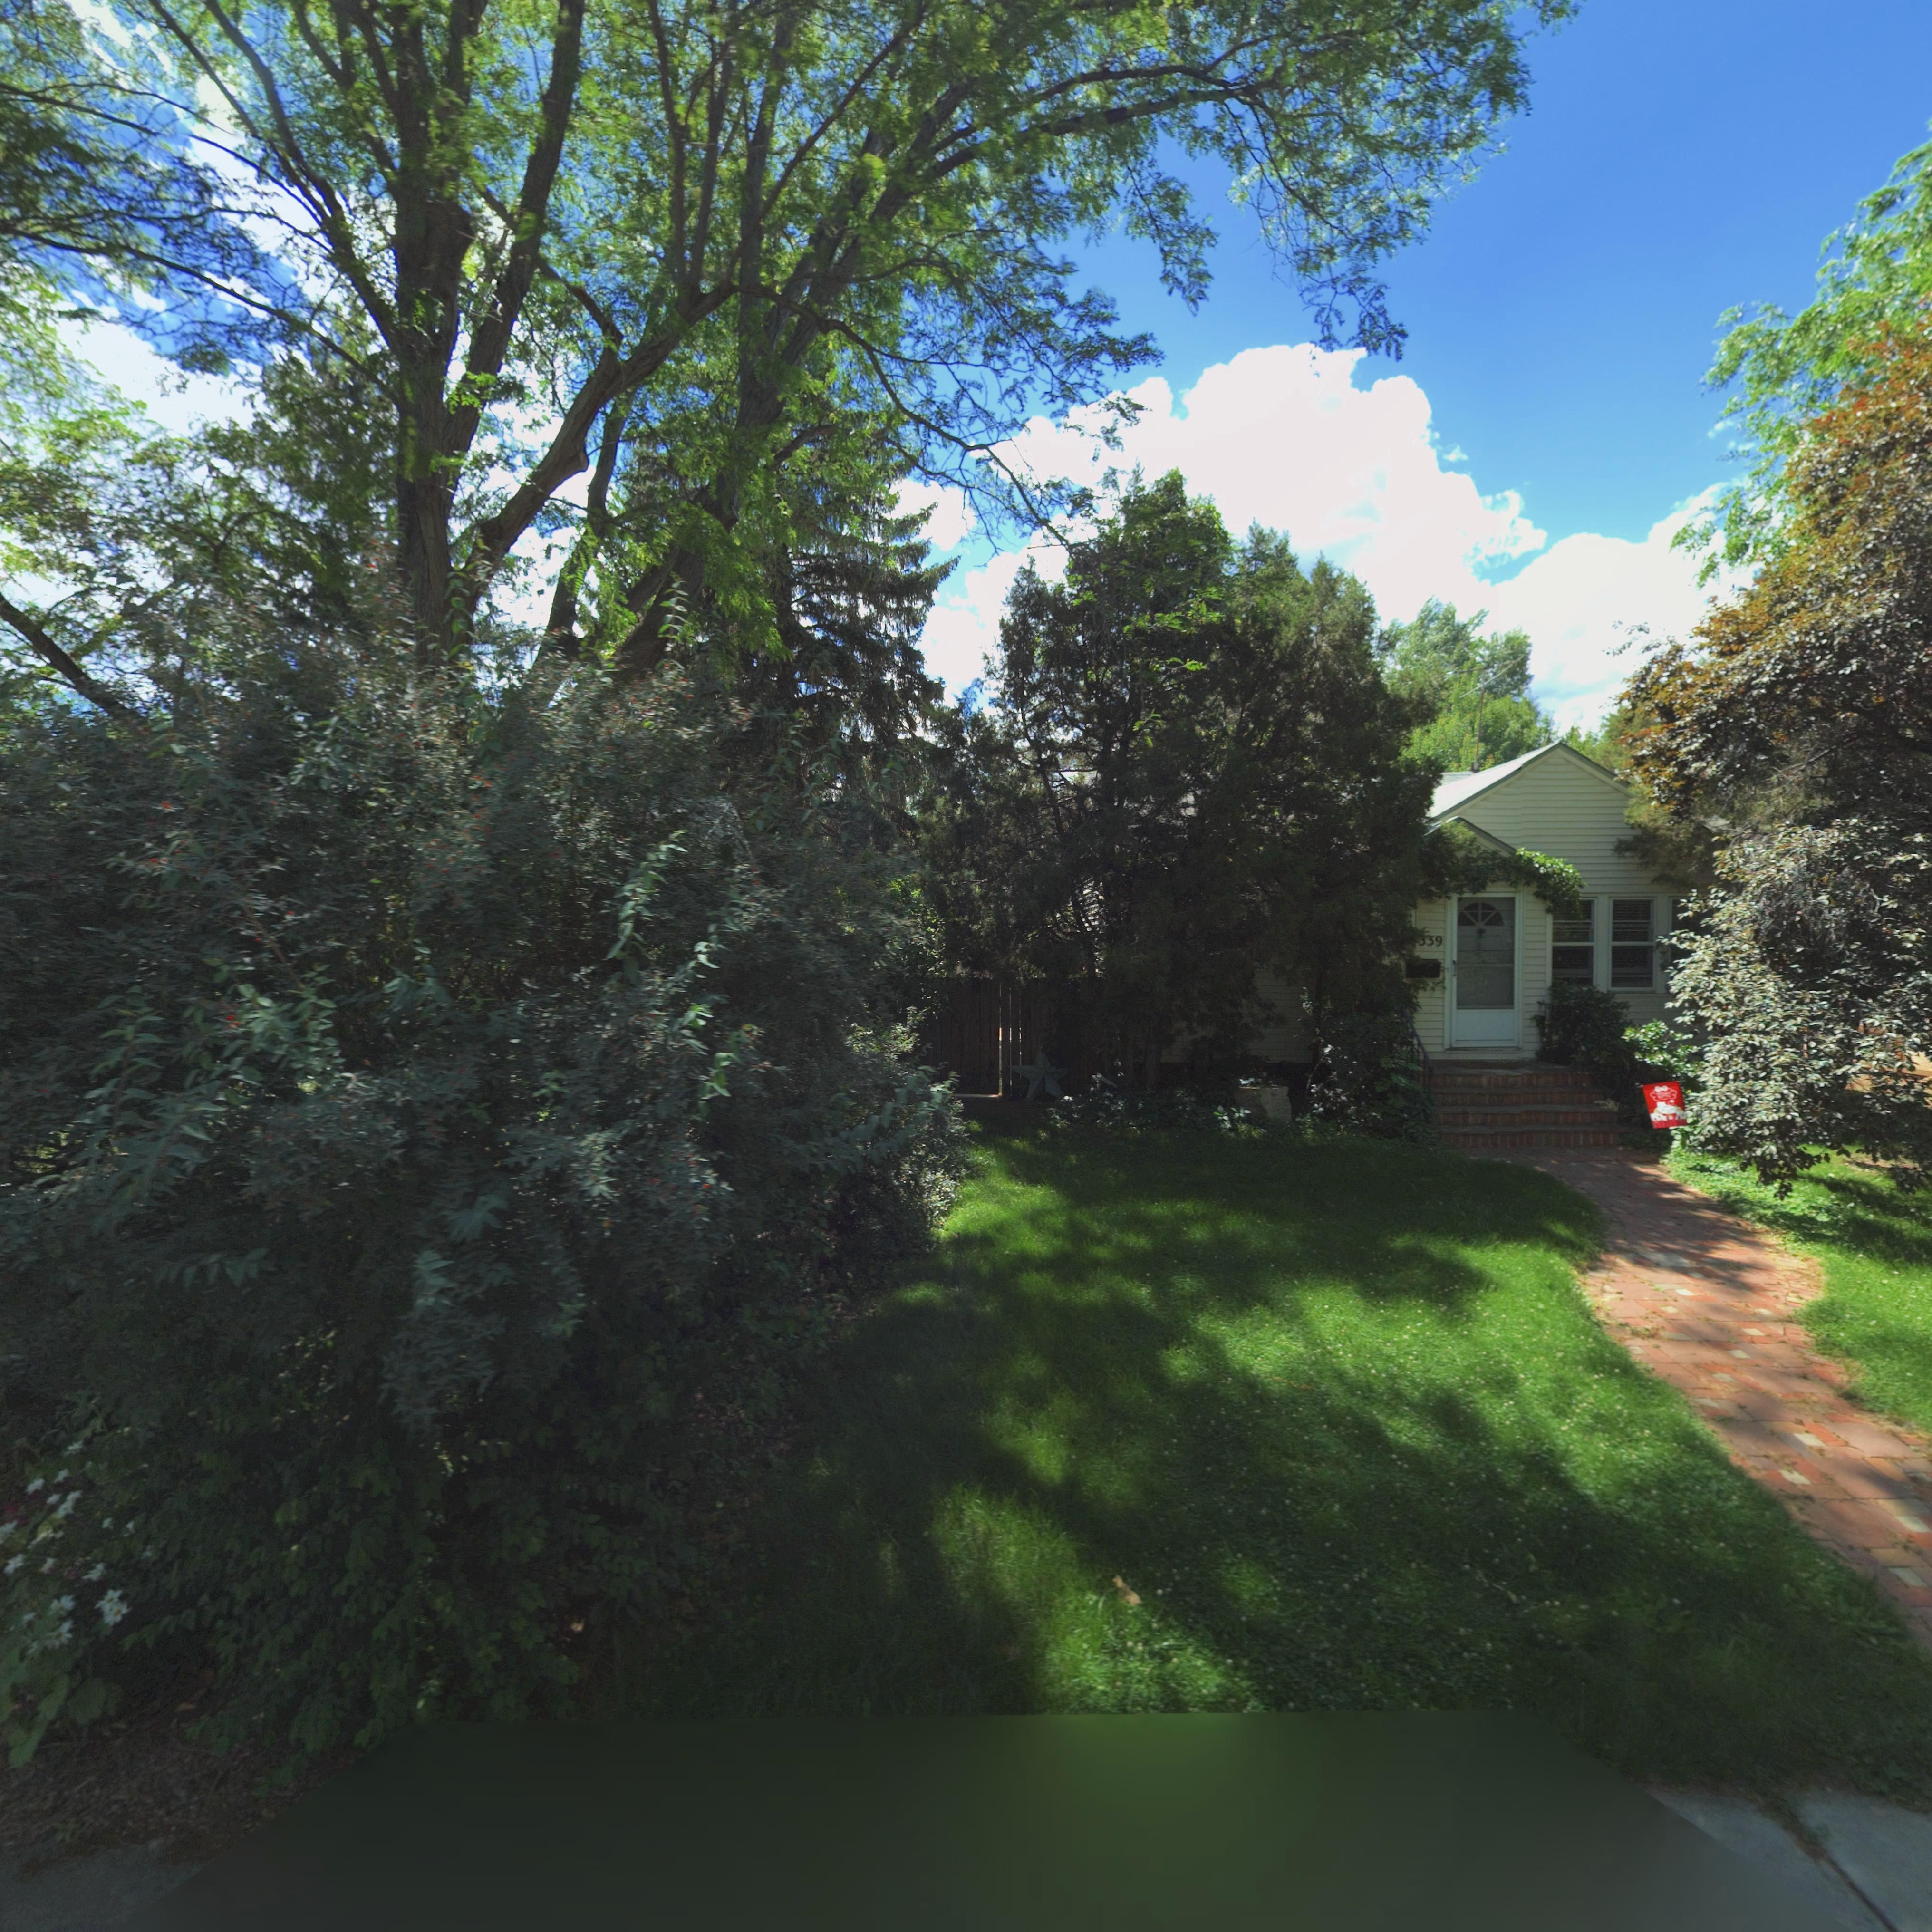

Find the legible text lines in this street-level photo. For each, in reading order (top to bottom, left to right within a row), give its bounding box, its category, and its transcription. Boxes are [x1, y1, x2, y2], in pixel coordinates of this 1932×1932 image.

[1418, 935, 1443, 947] StreetNumber: *39